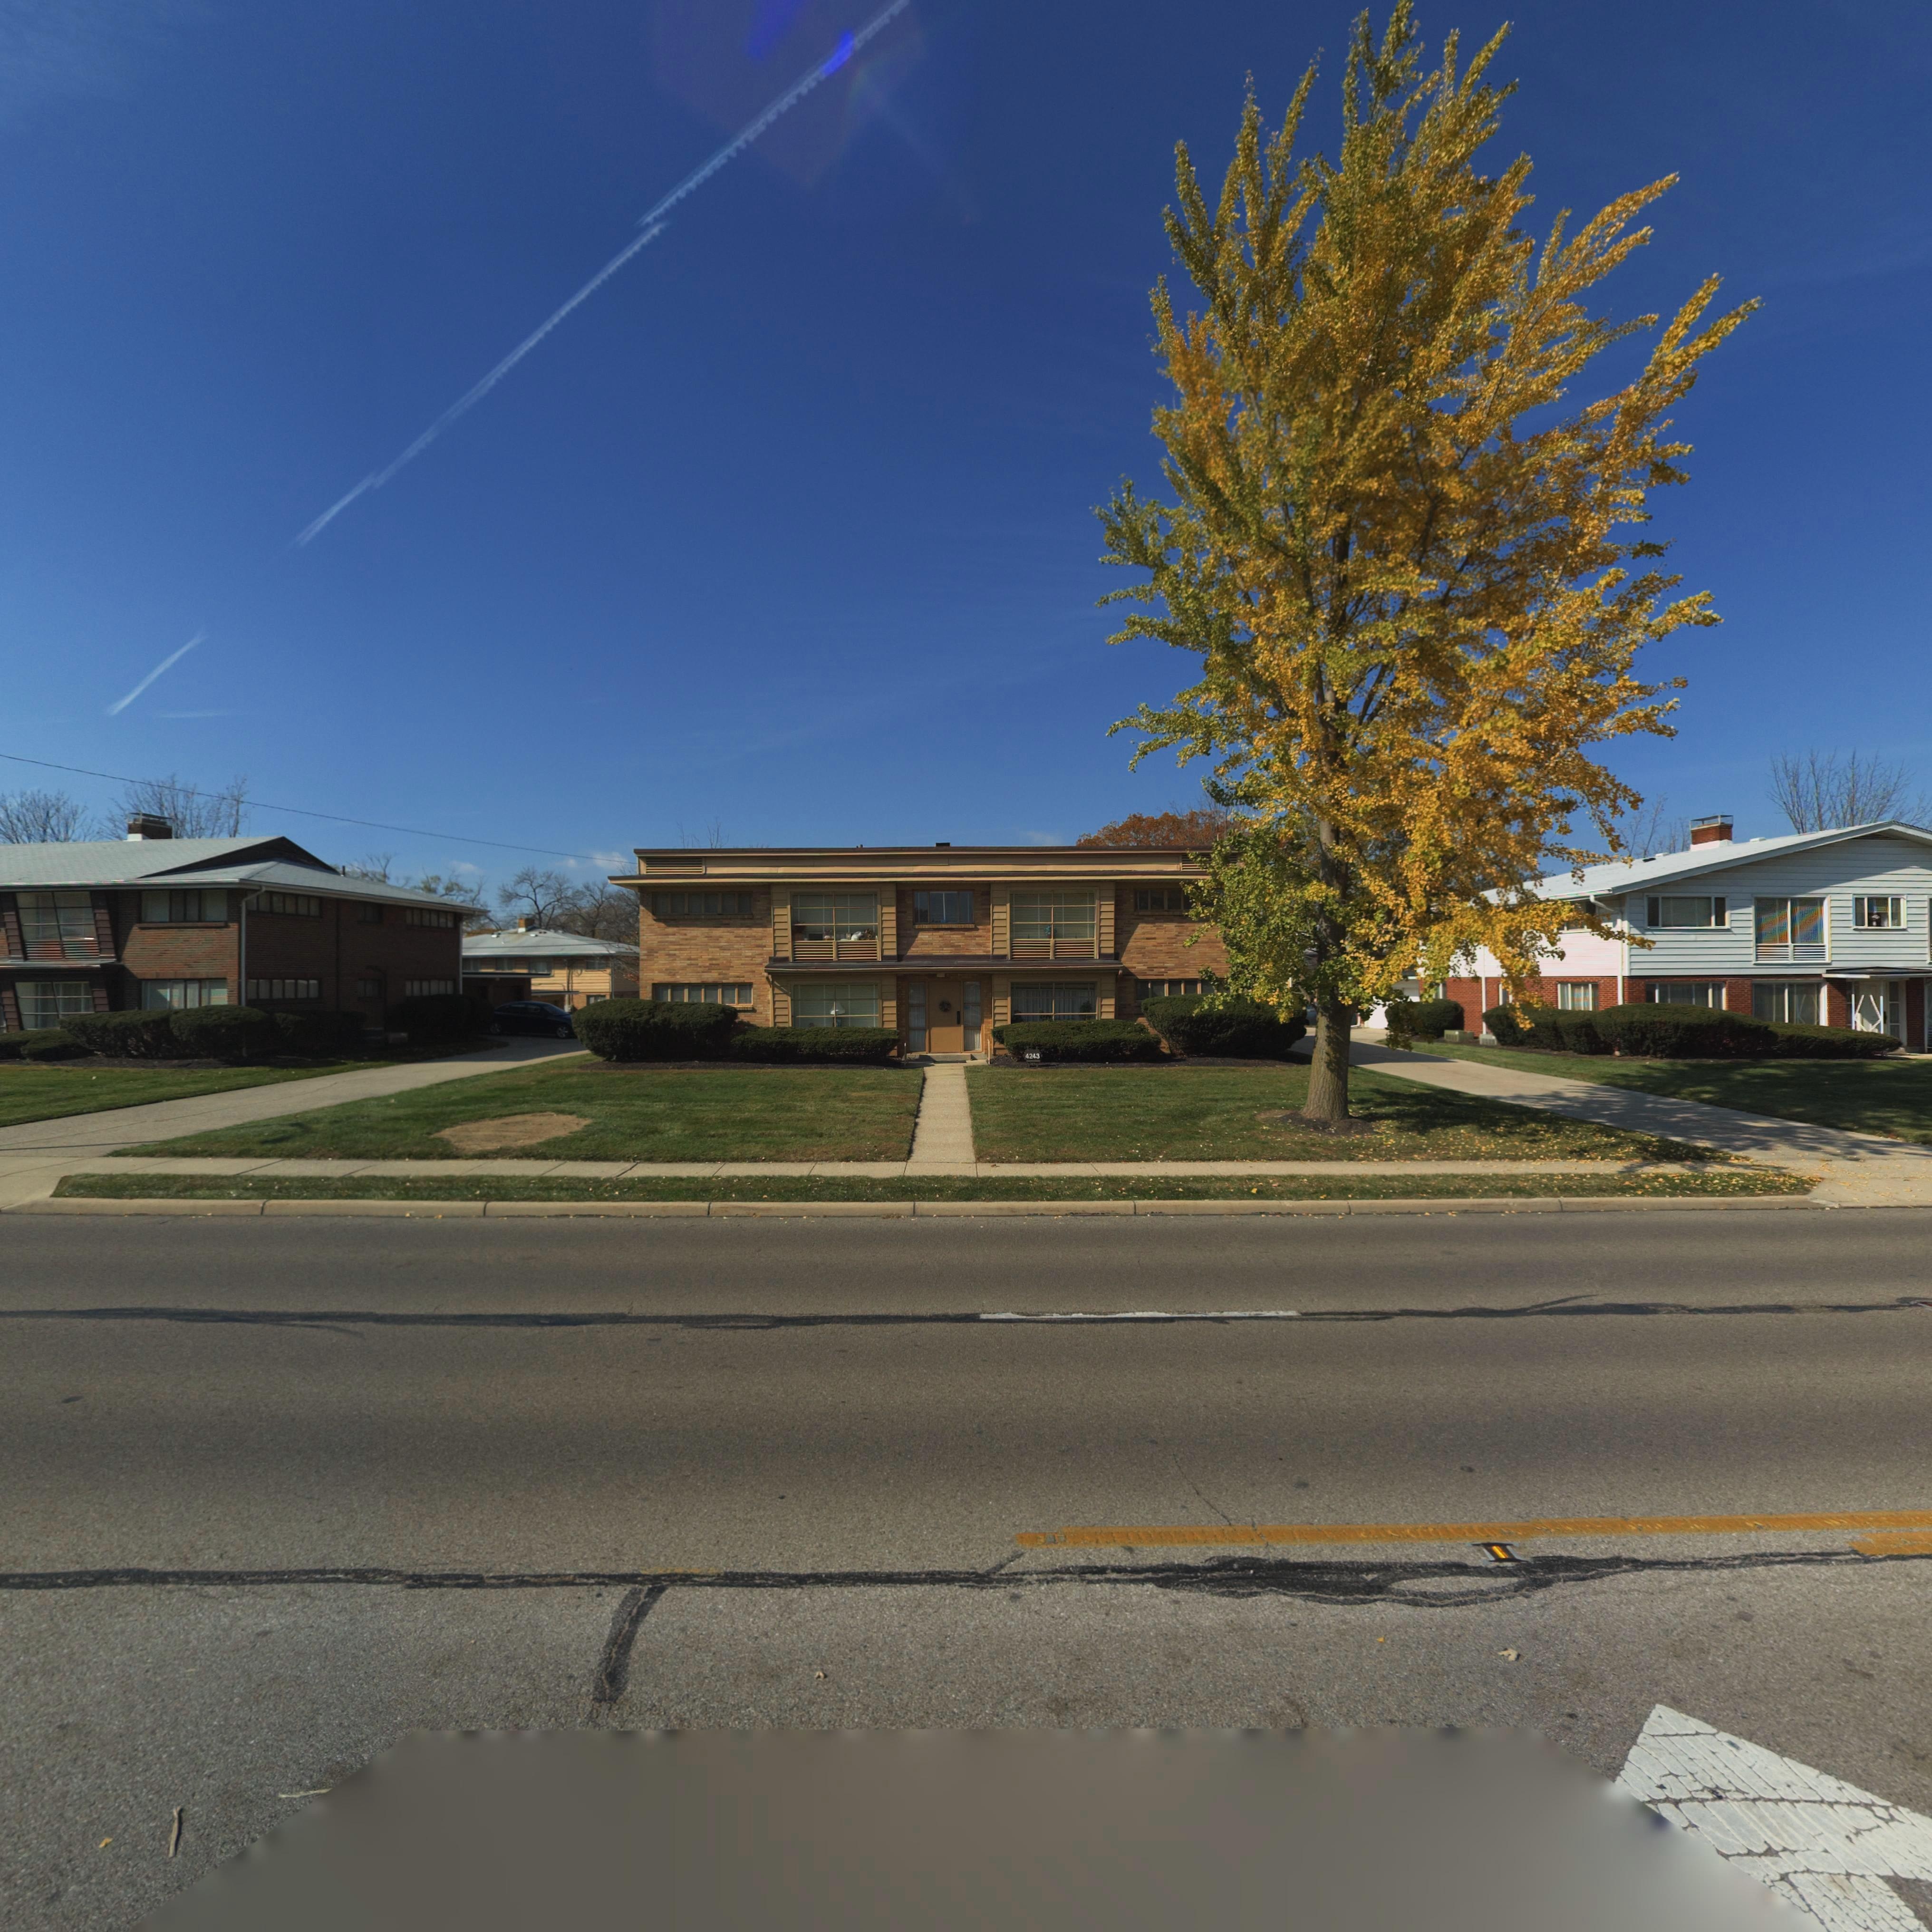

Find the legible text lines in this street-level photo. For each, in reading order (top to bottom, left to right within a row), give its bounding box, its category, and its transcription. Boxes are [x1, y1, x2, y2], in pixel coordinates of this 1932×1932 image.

[1024, 1052, 1041, 1060] StreetNumber: 4243